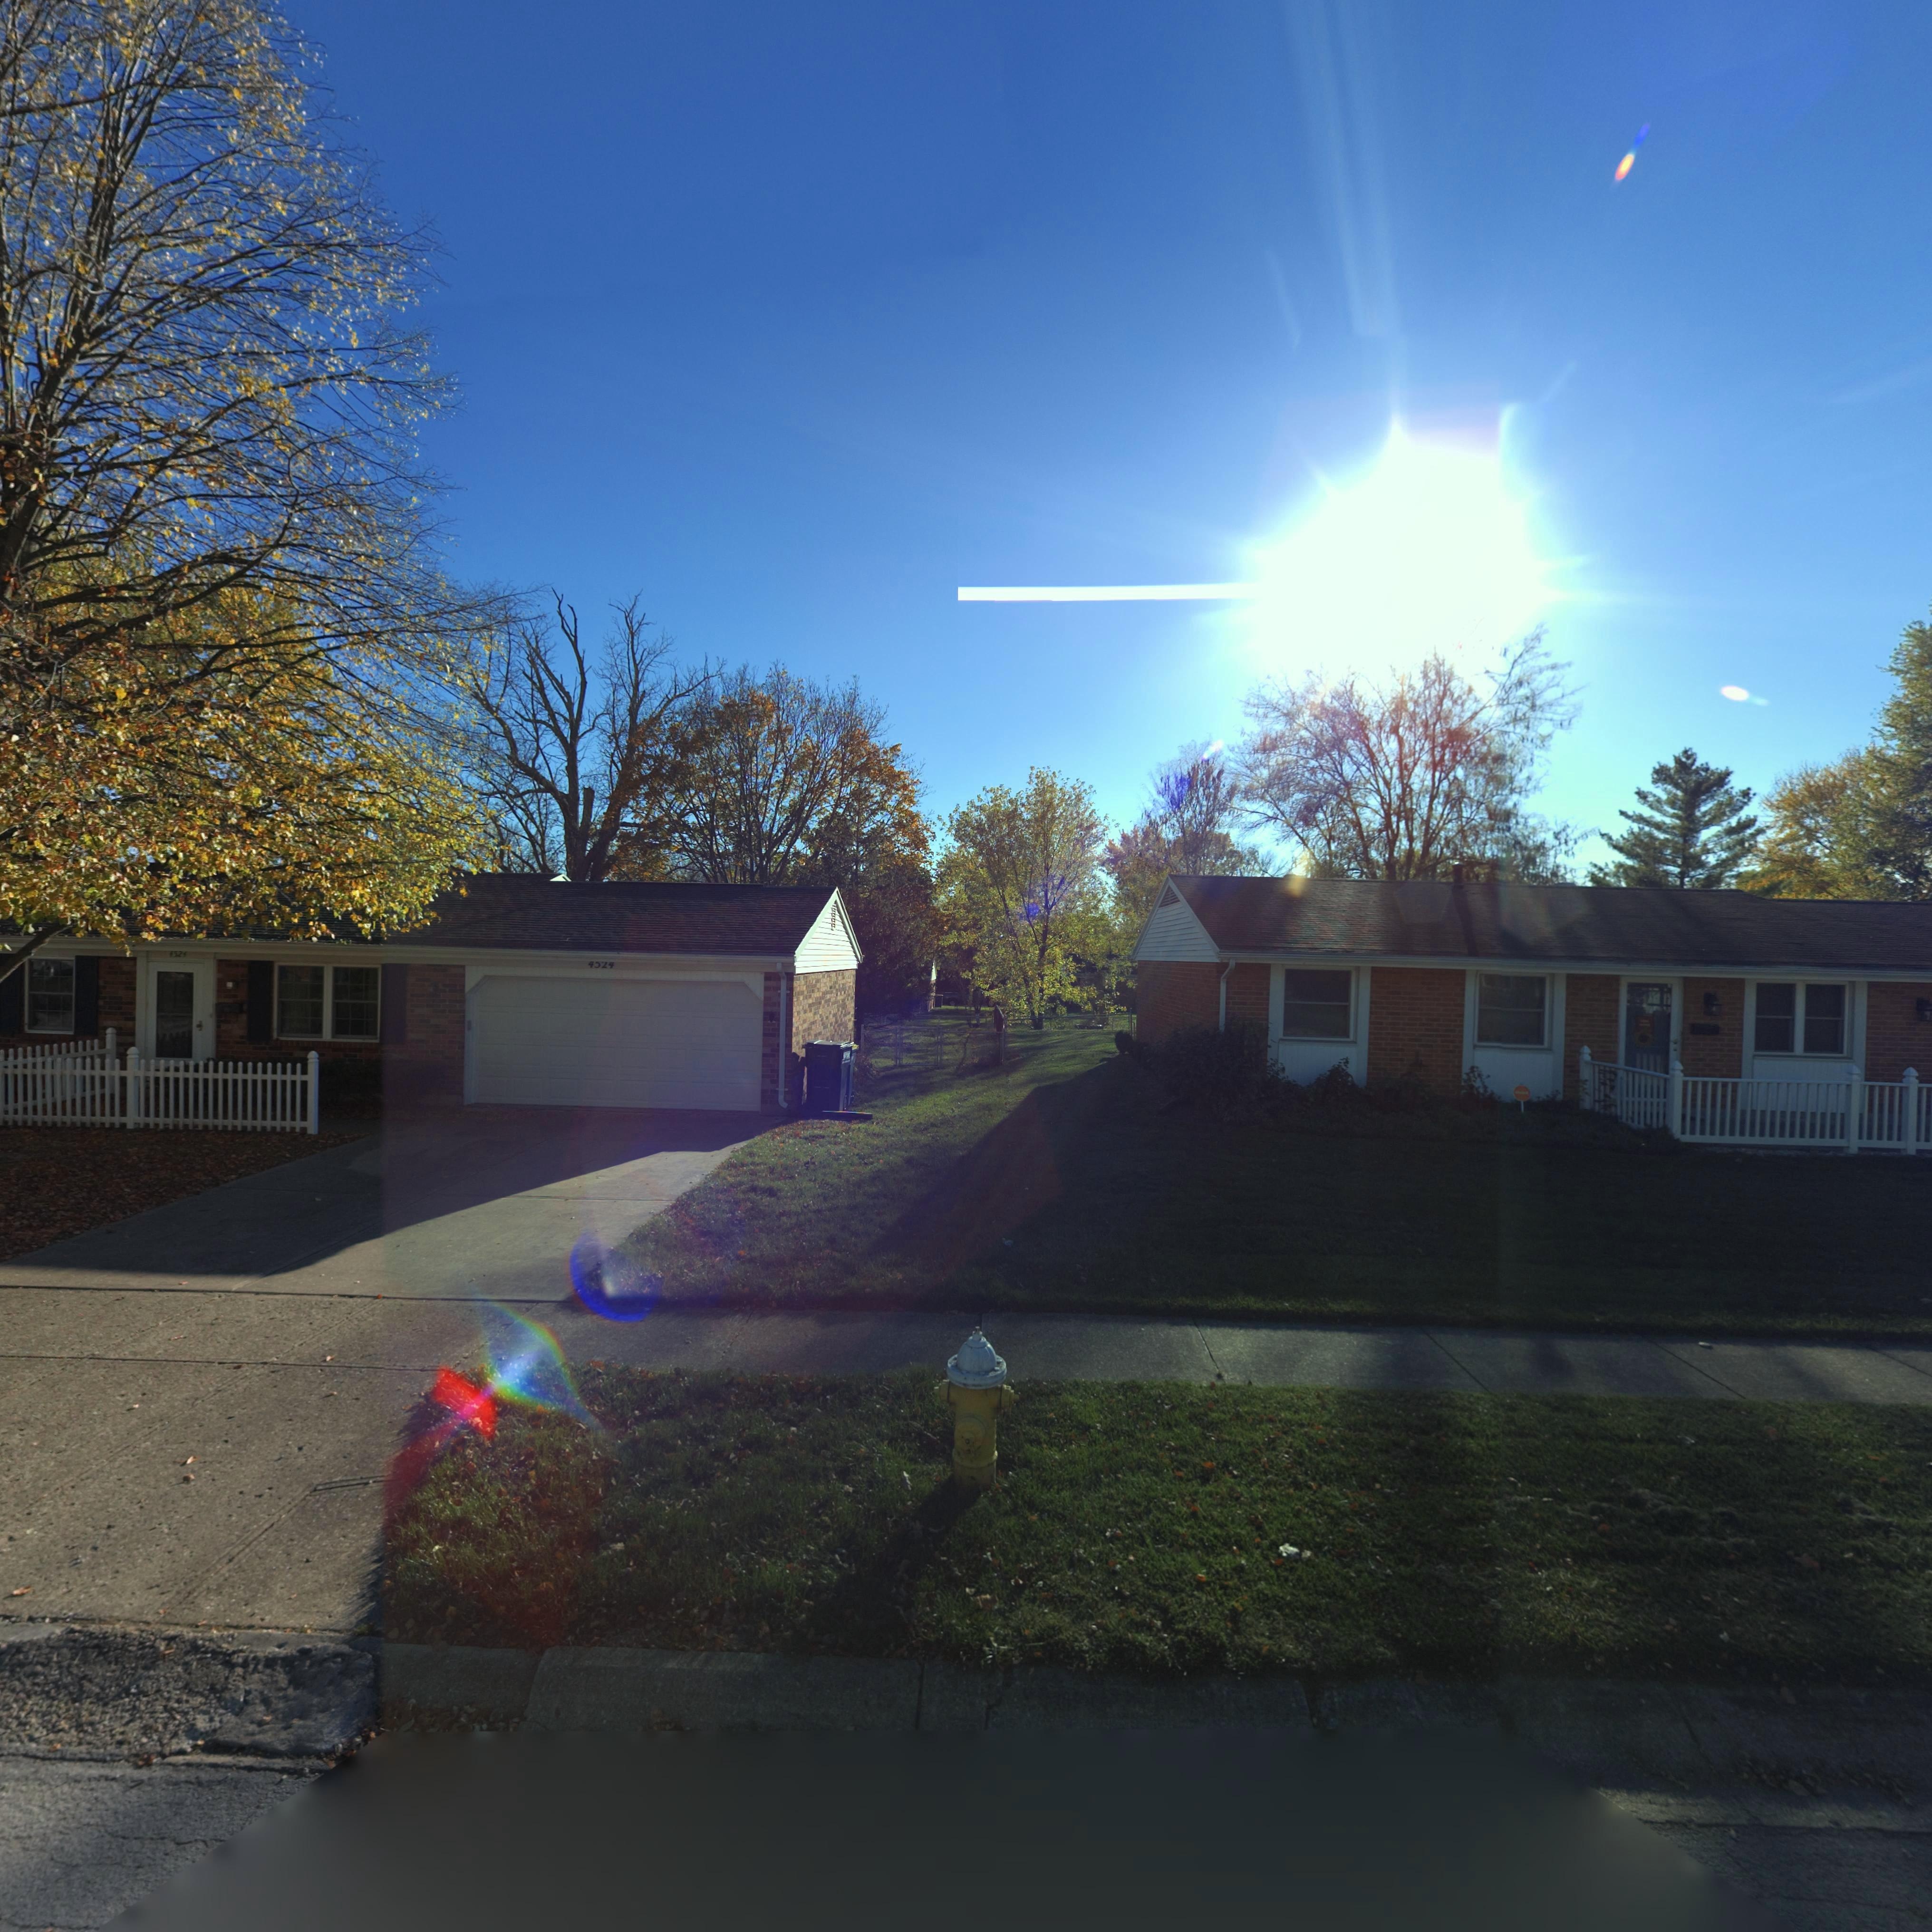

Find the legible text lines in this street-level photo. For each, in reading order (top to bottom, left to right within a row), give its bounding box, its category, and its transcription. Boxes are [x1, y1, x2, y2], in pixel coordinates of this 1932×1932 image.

[168, 950, 188, 957] StreetNumber: 4524
[587, 961, 615, 969] StreetNumber: 4524